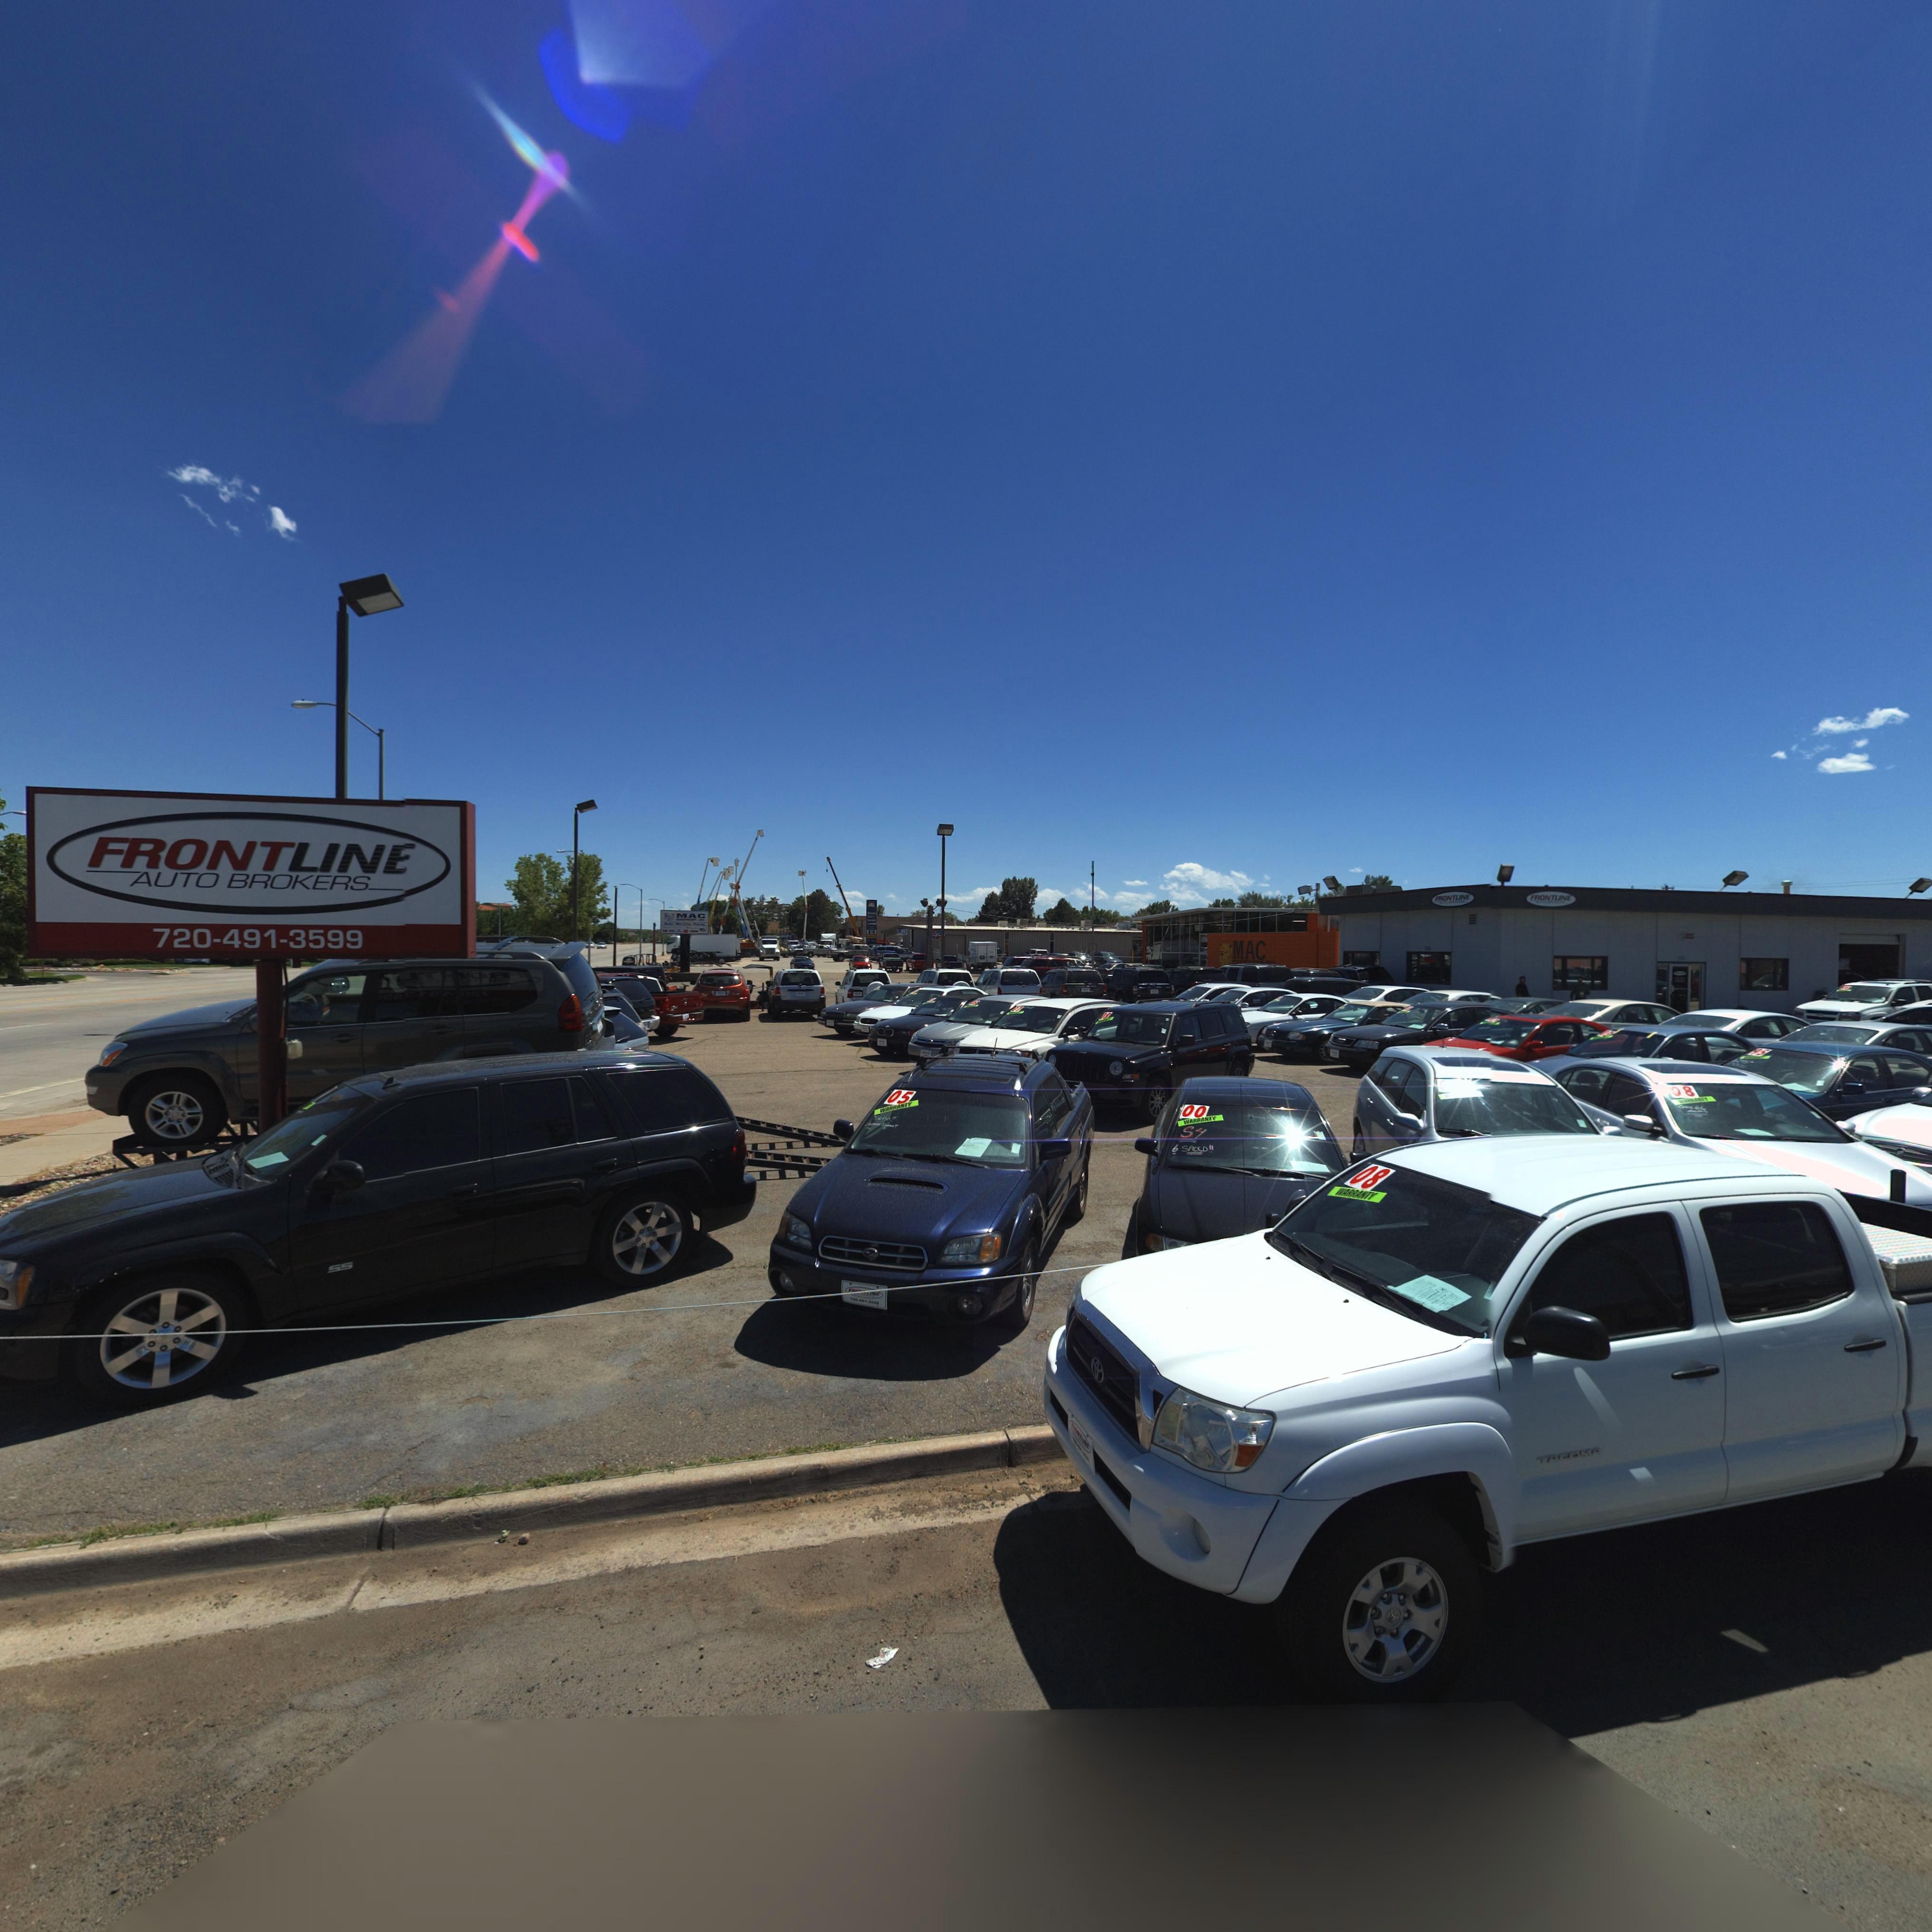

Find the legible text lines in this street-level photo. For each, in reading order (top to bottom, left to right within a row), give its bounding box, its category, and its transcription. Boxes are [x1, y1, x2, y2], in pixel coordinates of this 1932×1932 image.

[84, 835, 417, 876] BusinessName: FRONTLINE
[126, 870, 374, 893] BusinessName: AUTO BROKERS
[1434, 893, 1471, 901] BusinessName: FRONTLINE
[1529, 894, 1572, 901] BusinessName: FRONTLINE
[676, 913, 705, 918] BusinessName: MAC
[1232, 939, 1266, 960] BusinessName: MAC